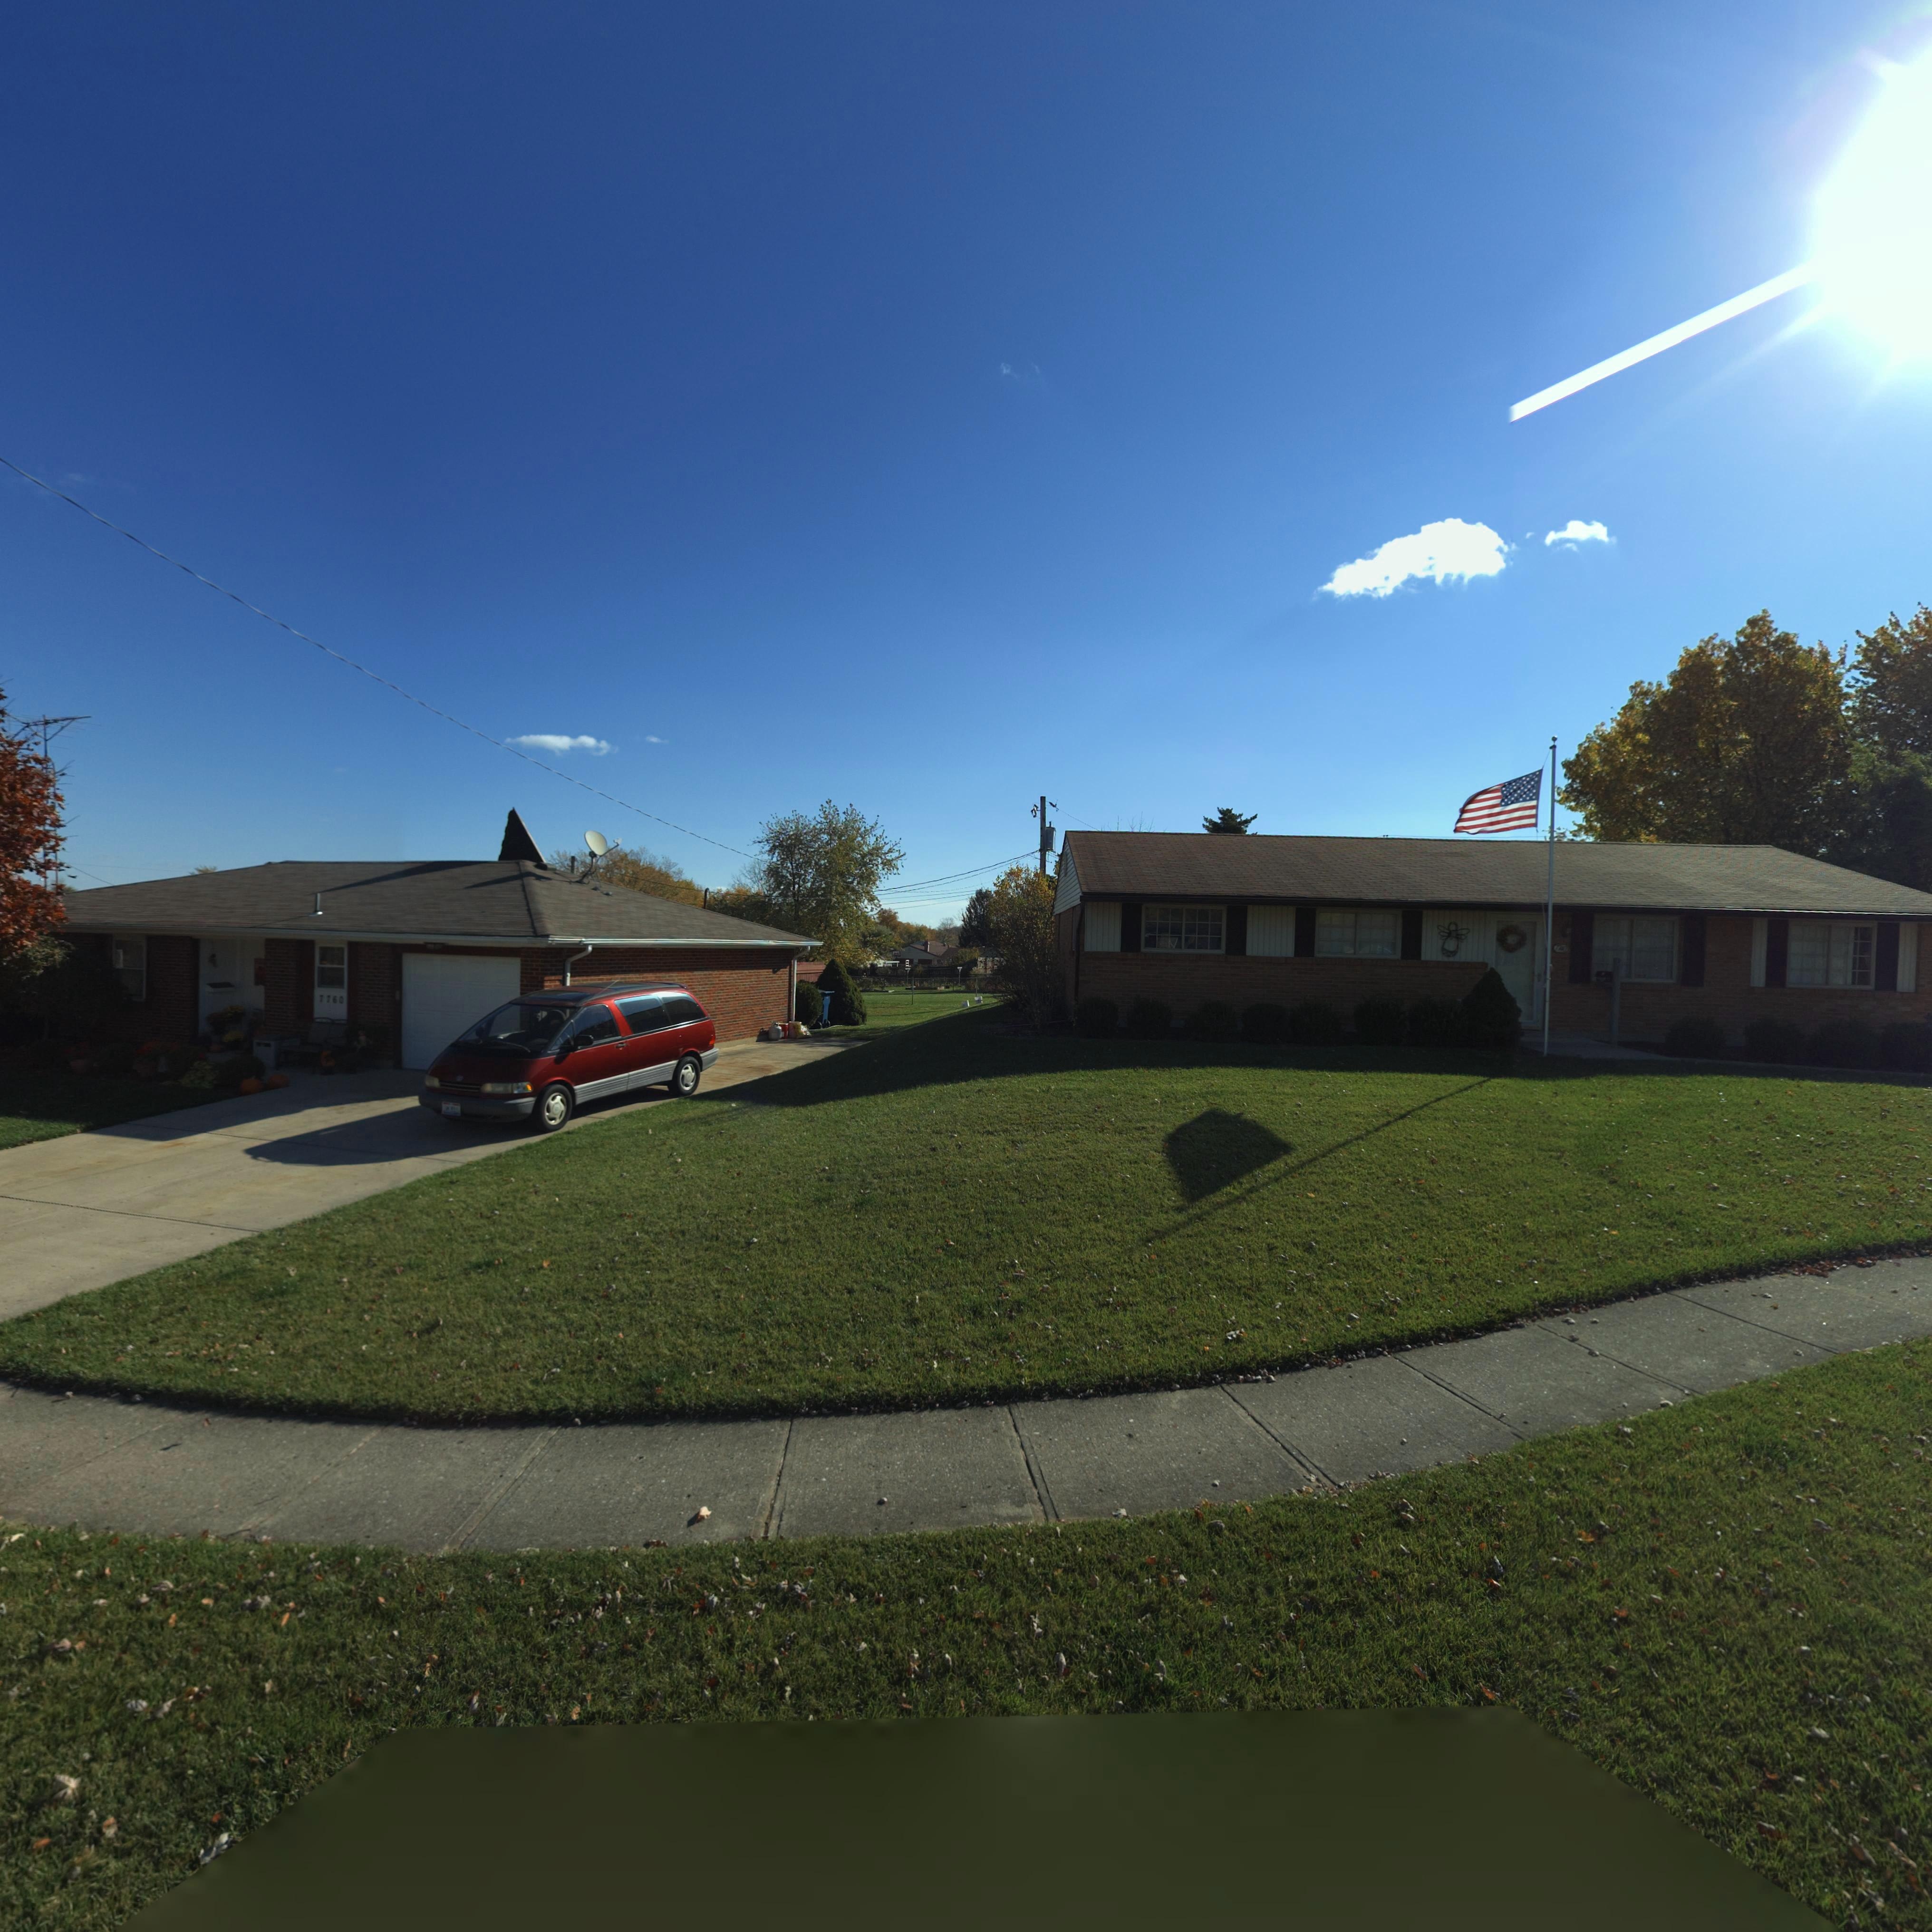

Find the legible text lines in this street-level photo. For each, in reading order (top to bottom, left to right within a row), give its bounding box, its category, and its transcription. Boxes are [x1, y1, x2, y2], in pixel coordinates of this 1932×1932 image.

[318, 994, 345, 1005] StreetNumber: 7760